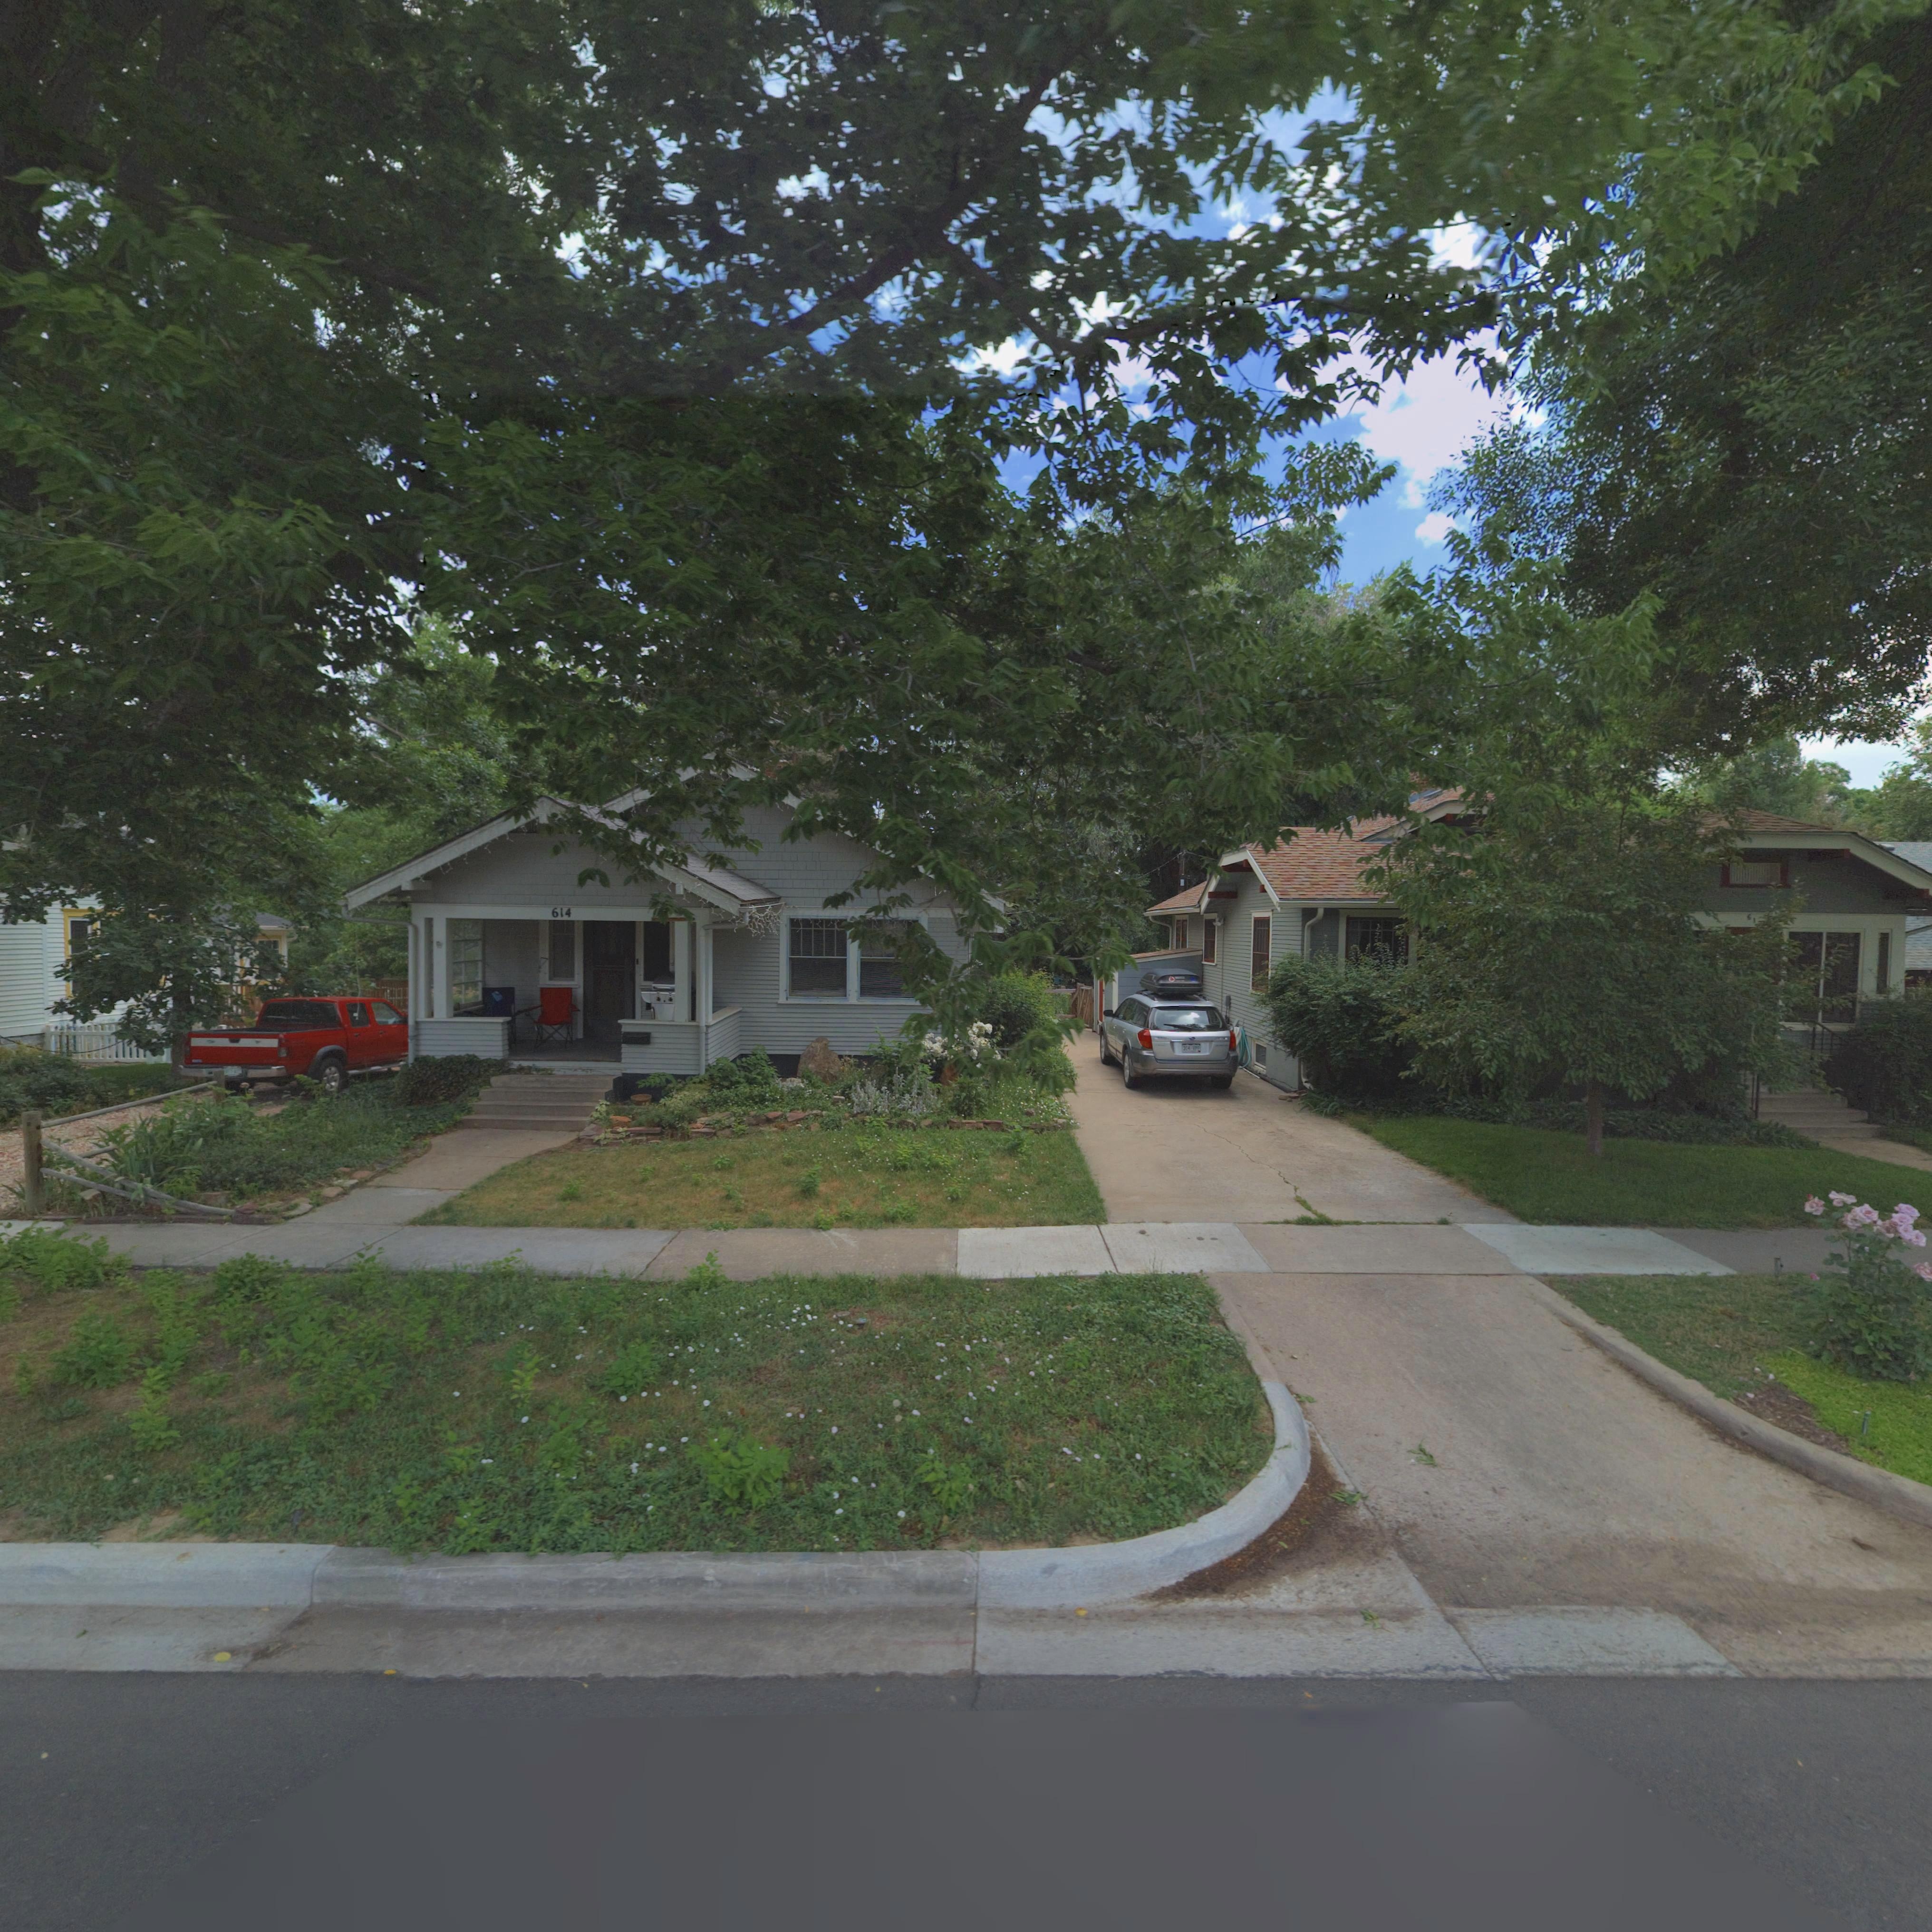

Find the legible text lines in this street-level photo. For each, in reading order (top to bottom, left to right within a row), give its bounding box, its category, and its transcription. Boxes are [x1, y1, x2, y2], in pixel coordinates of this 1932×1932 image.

[551, 907, 572, 918] StreetNumber: 614